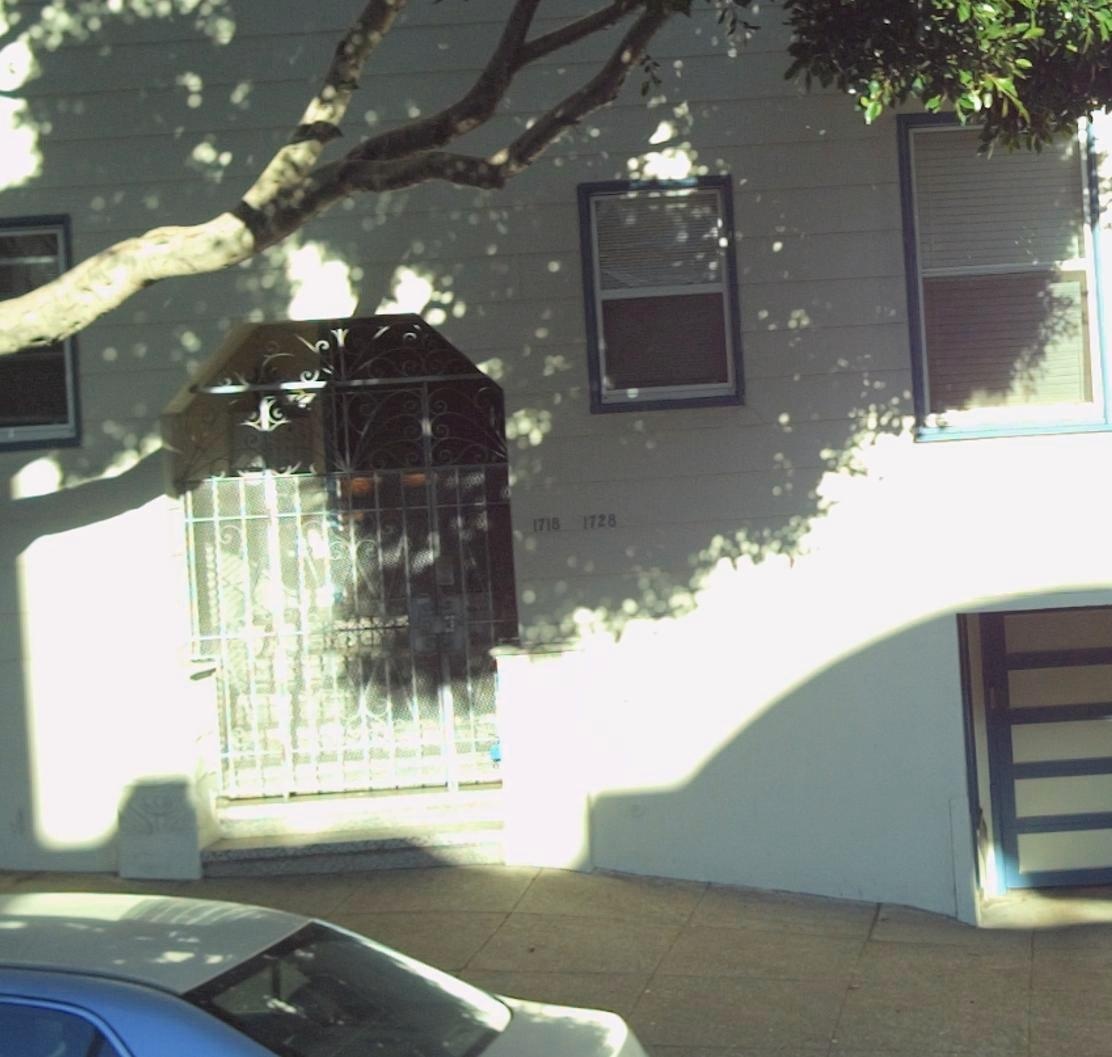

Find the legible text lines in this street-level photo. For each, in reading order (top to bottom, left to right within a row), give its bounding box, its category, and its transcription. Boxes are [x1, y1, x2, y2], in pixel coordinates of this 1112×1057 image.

[531, 515, 561, 534] StreetNumber: 1718
[582, 512, 618, 531] StreetNumber: 1728